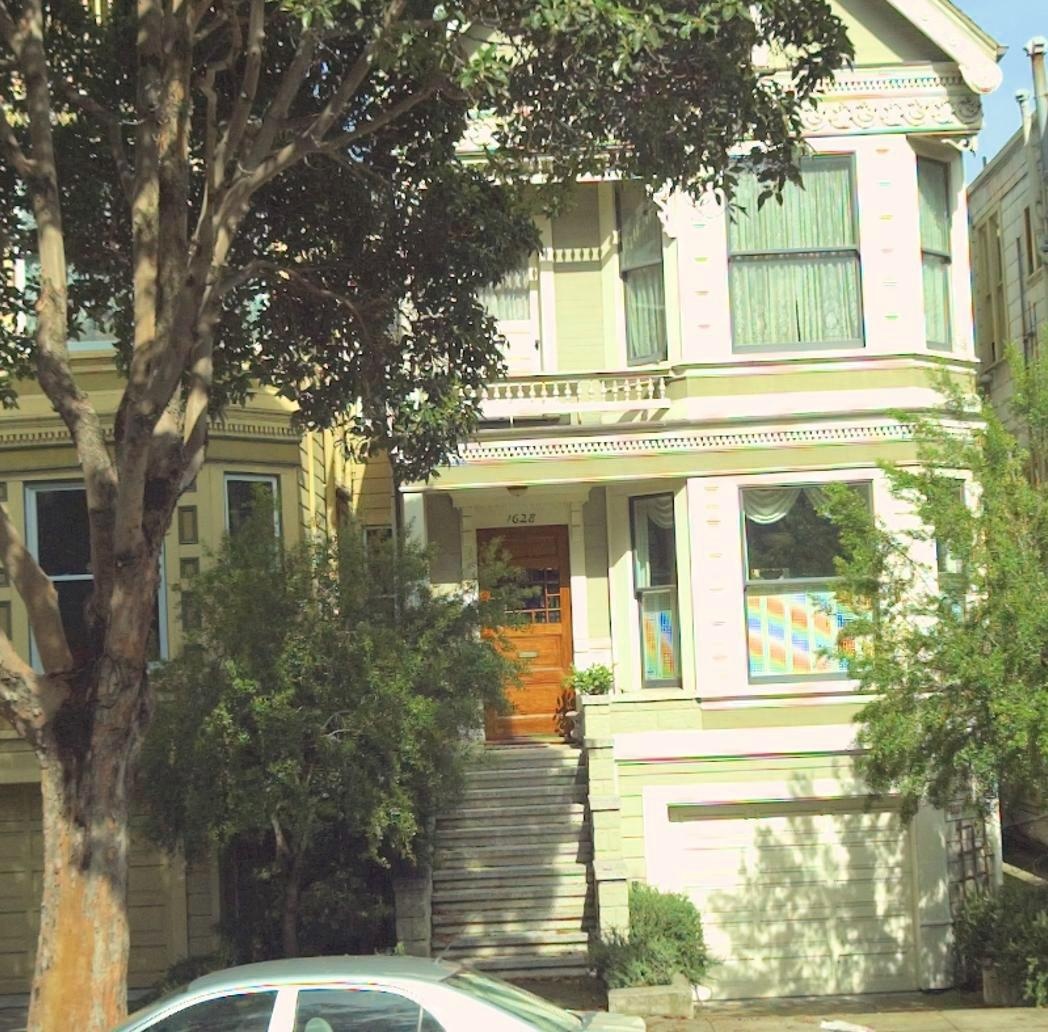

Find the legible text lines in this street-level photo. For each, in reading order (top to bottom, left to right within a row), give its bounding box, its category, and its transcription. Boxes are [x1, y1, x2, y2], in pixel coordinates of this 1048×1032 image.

[504, 512, 538, 526] StreetNumber: 1628